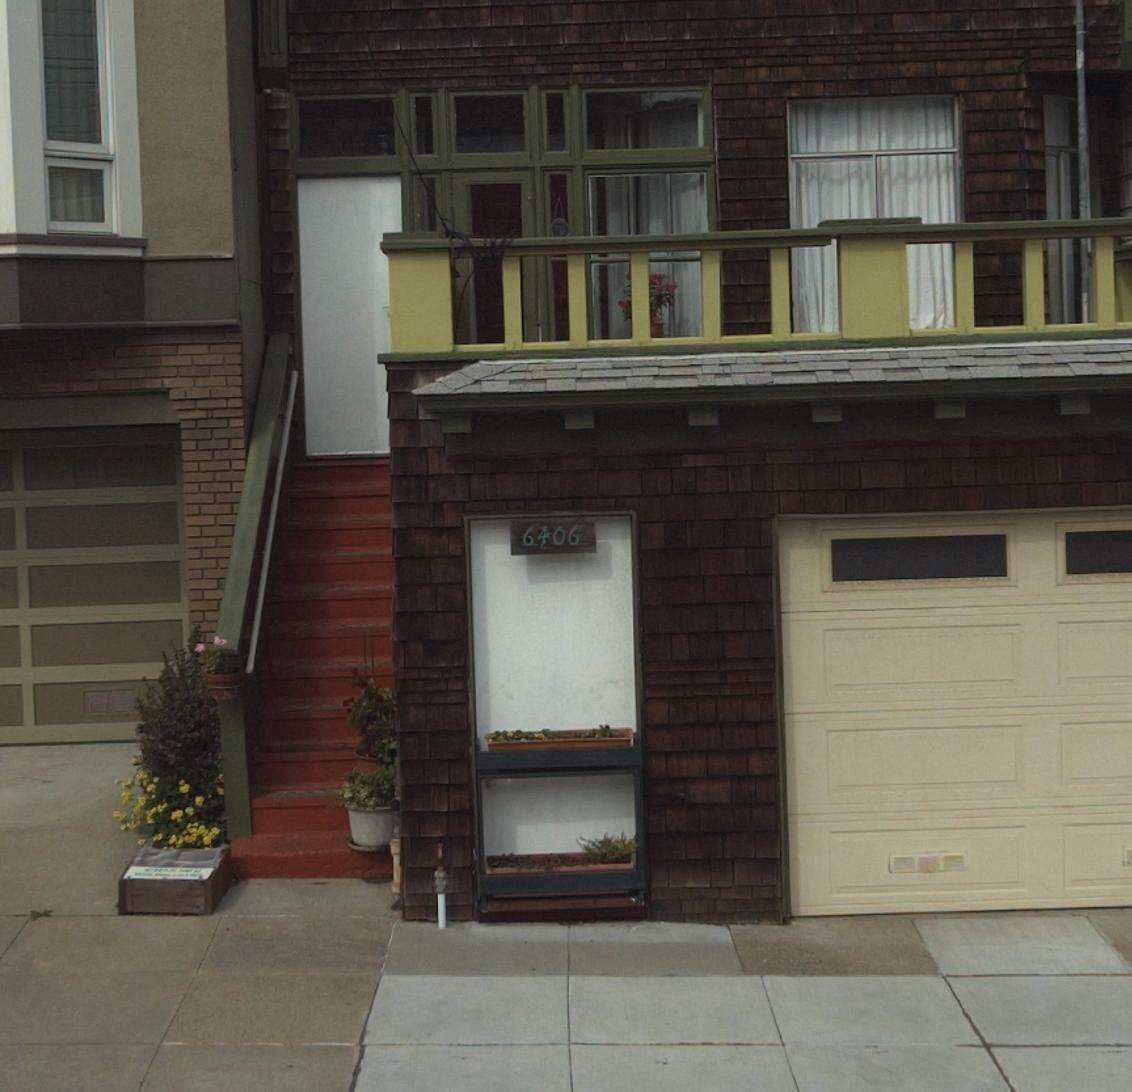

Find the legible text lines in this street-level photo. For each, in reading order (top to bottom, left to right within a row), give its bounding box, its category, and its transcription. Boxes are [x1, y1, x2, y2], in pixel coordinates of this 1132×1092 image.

[521, 524, 580, 547] StreetNumber: 6406